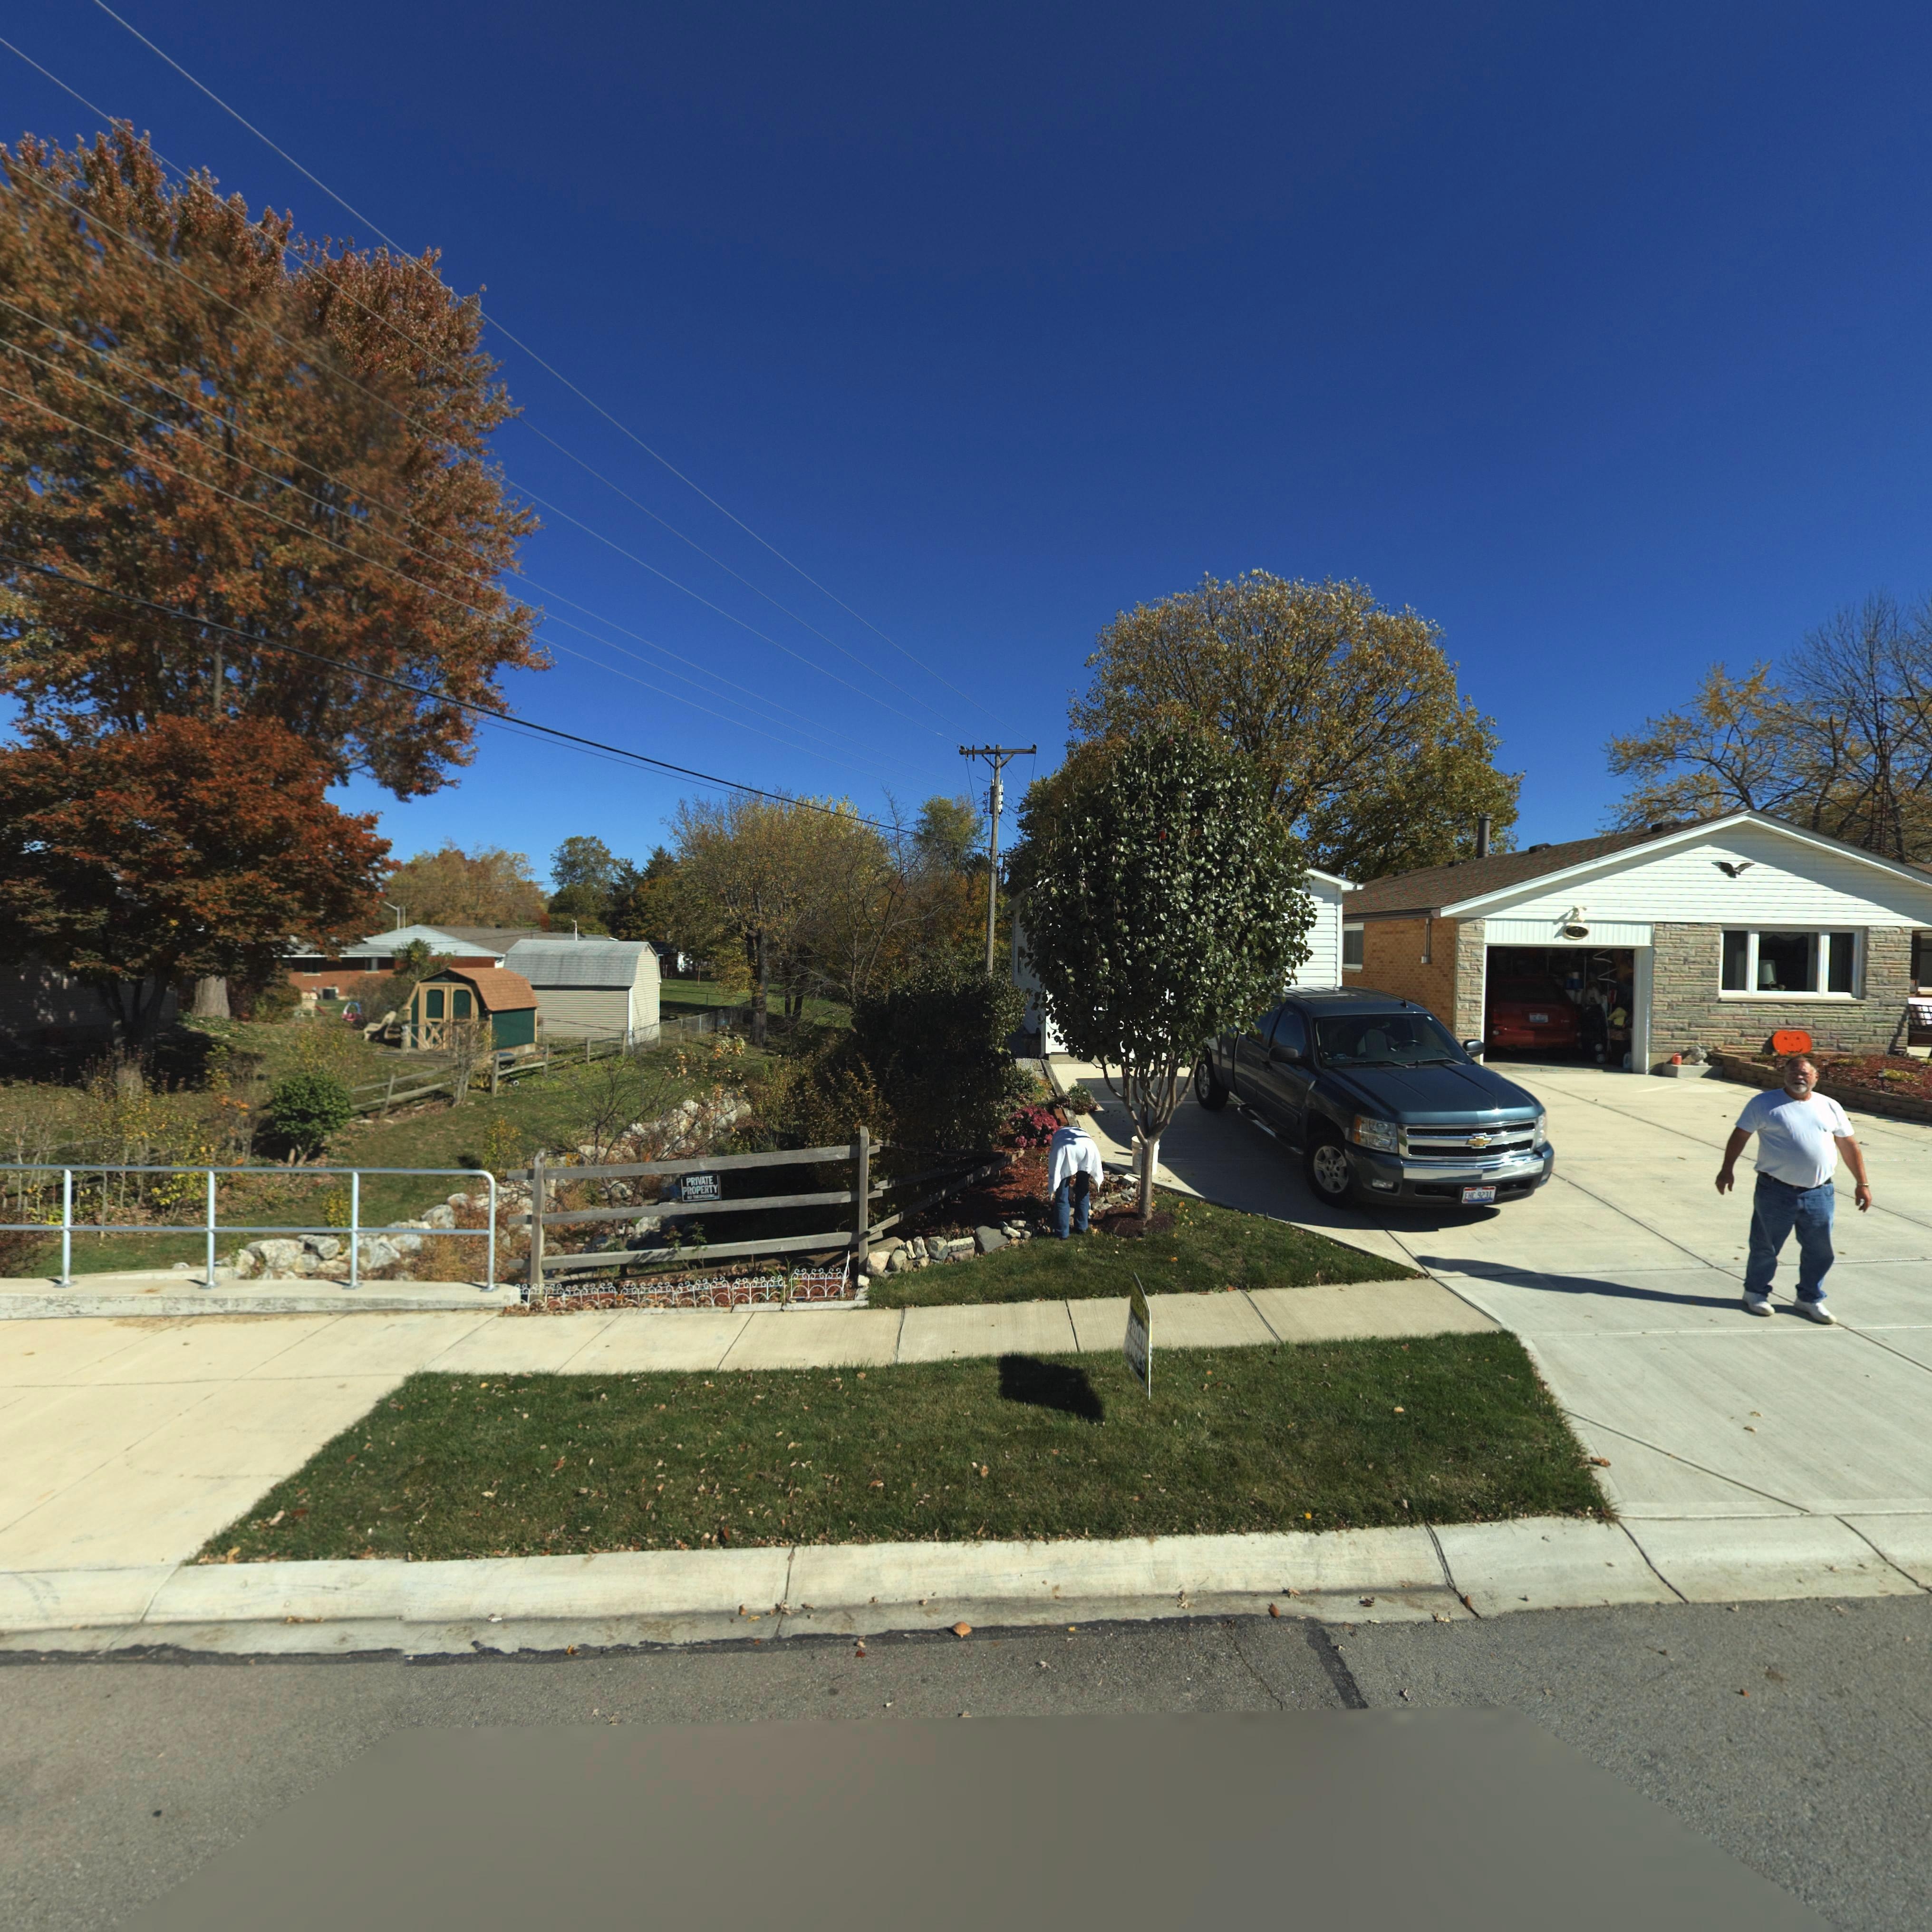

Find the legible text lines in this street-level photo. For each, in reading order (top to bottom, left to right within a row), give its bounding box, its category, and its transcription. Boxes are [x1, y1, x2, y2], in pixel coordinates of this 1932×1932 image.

[1567, 927, 1587, 937] StreetNumber: 720